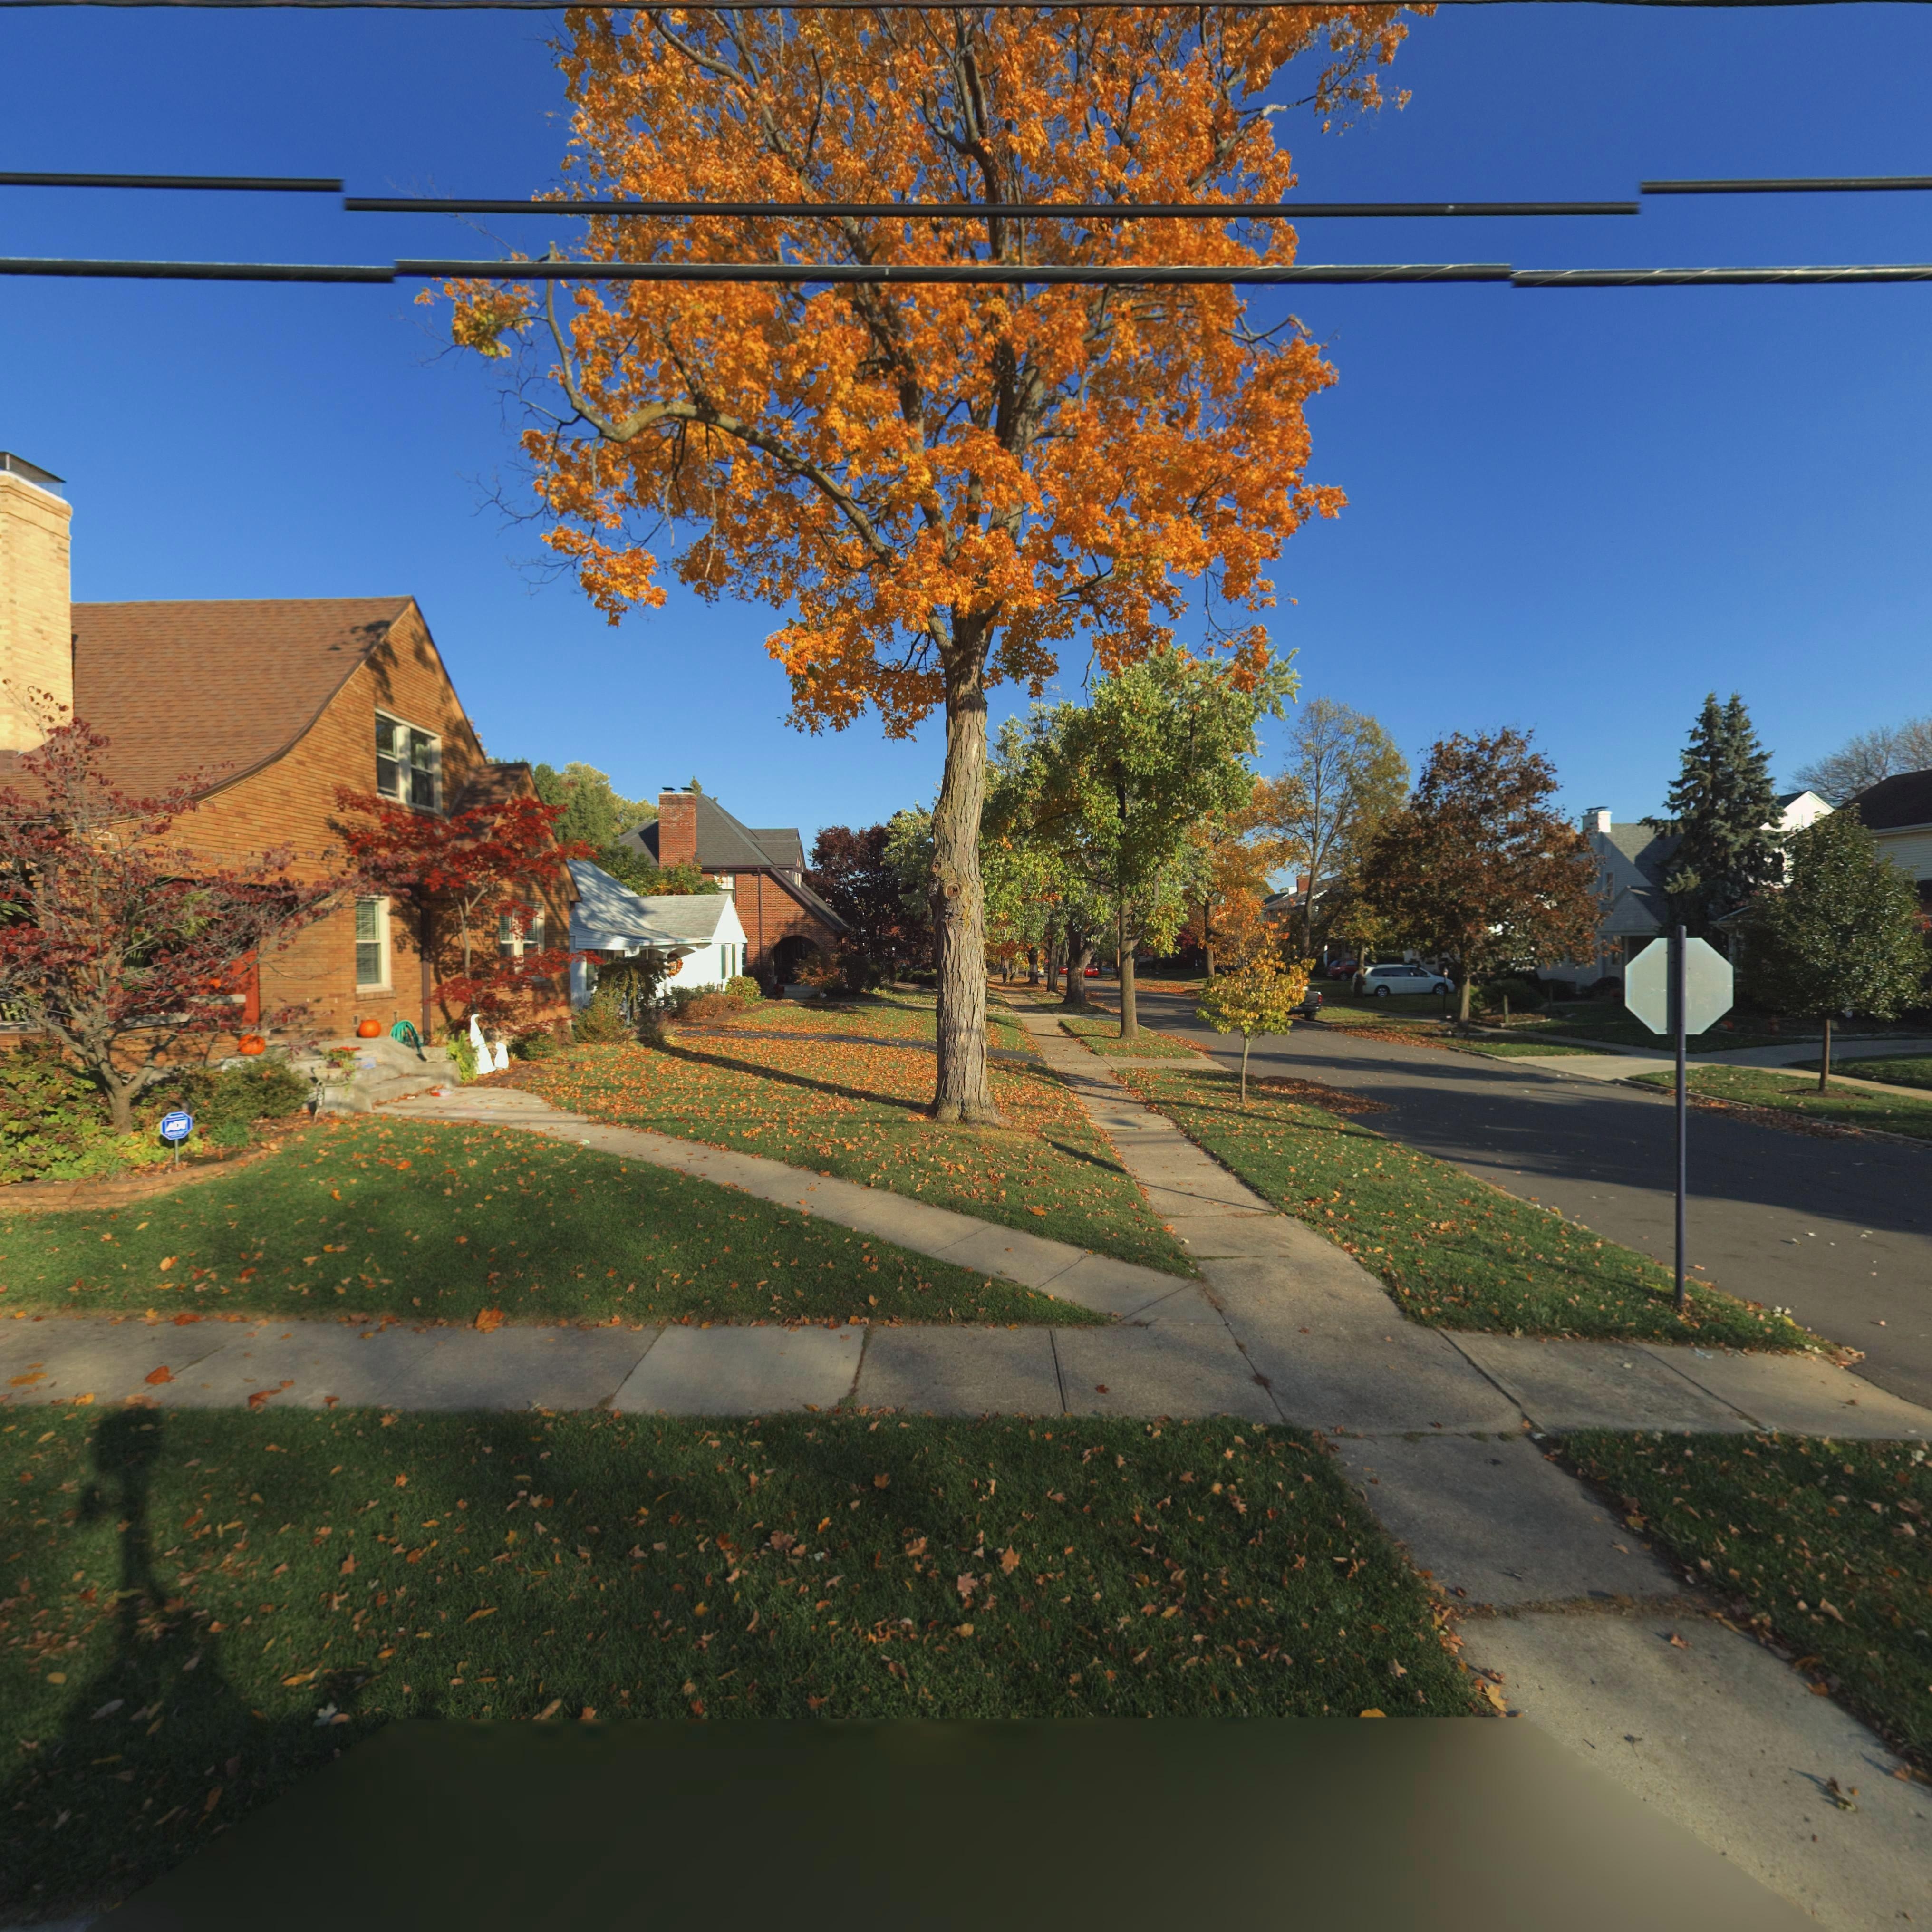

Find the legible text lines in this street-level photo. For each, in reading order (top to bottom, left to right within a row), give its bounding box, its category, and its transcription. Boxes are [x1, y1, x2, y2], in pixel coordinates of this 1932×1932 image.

[317, 1086, 324, 1107] StreetNumber: 301